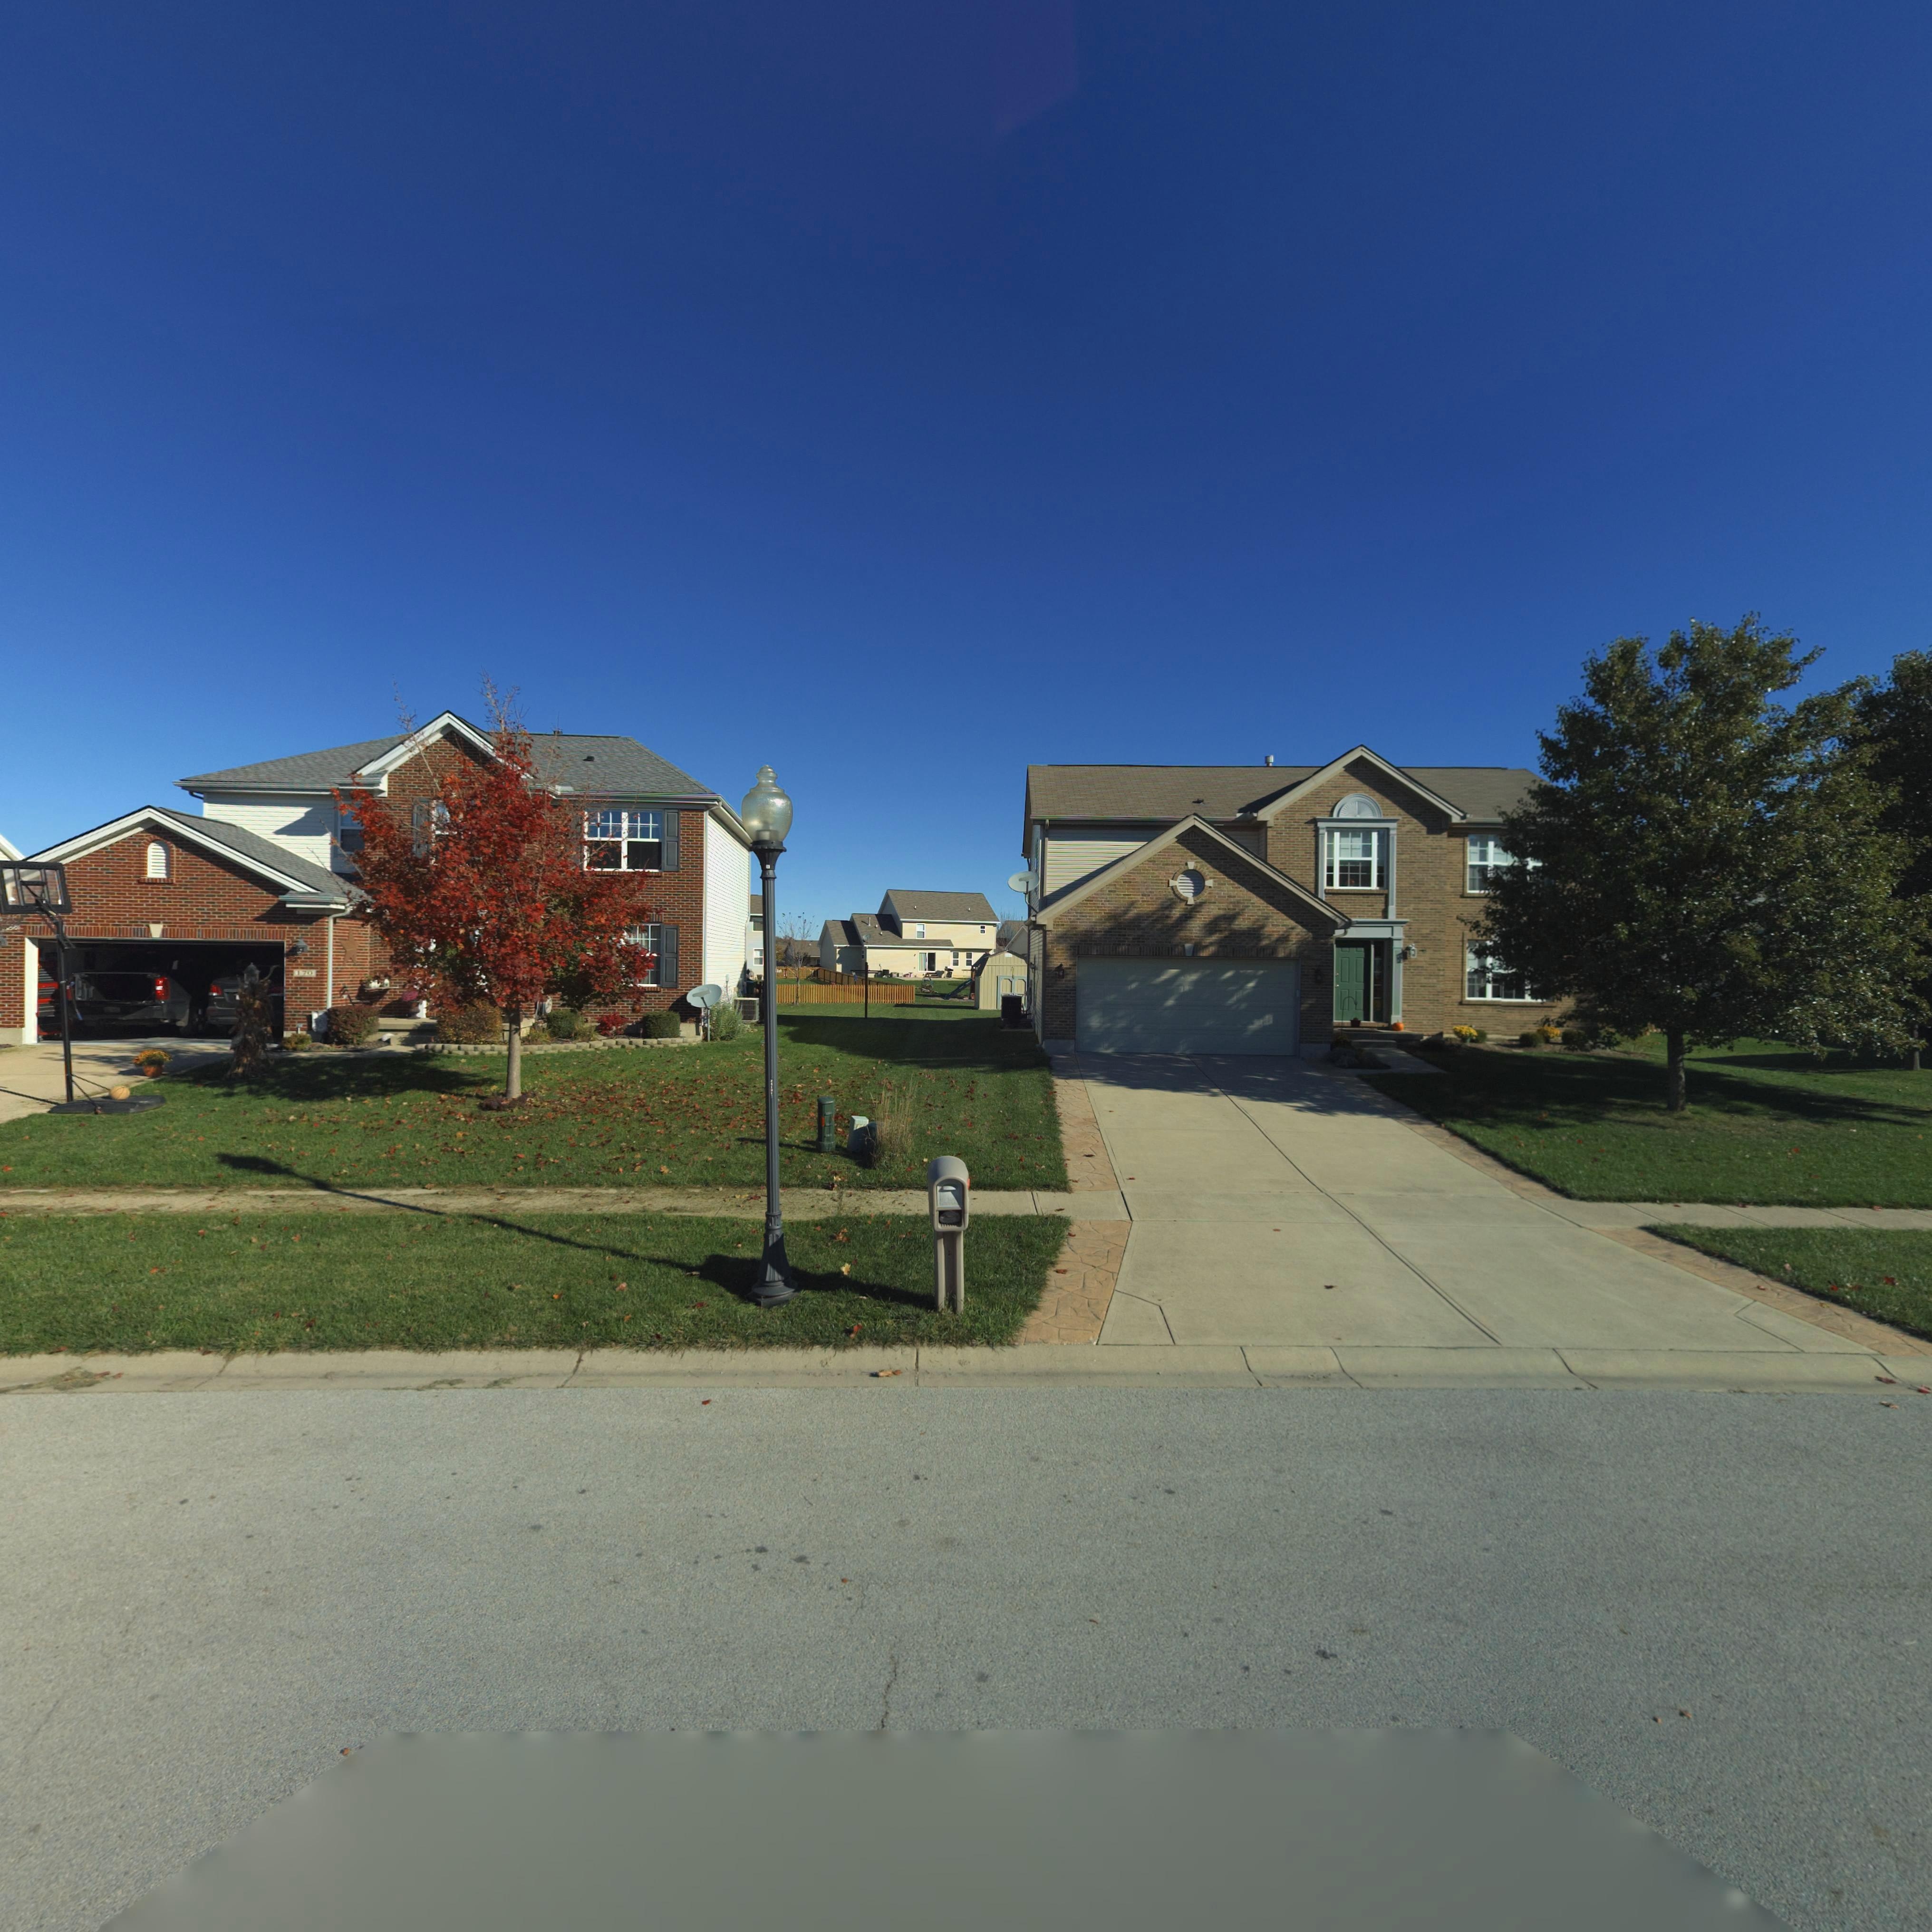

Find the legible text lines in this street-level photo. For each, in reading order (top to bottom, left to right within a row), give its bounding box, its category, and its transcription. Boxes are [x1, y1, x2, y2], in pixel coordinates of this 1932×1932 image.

[296, 969, 312, 976] StreetNumber: 170